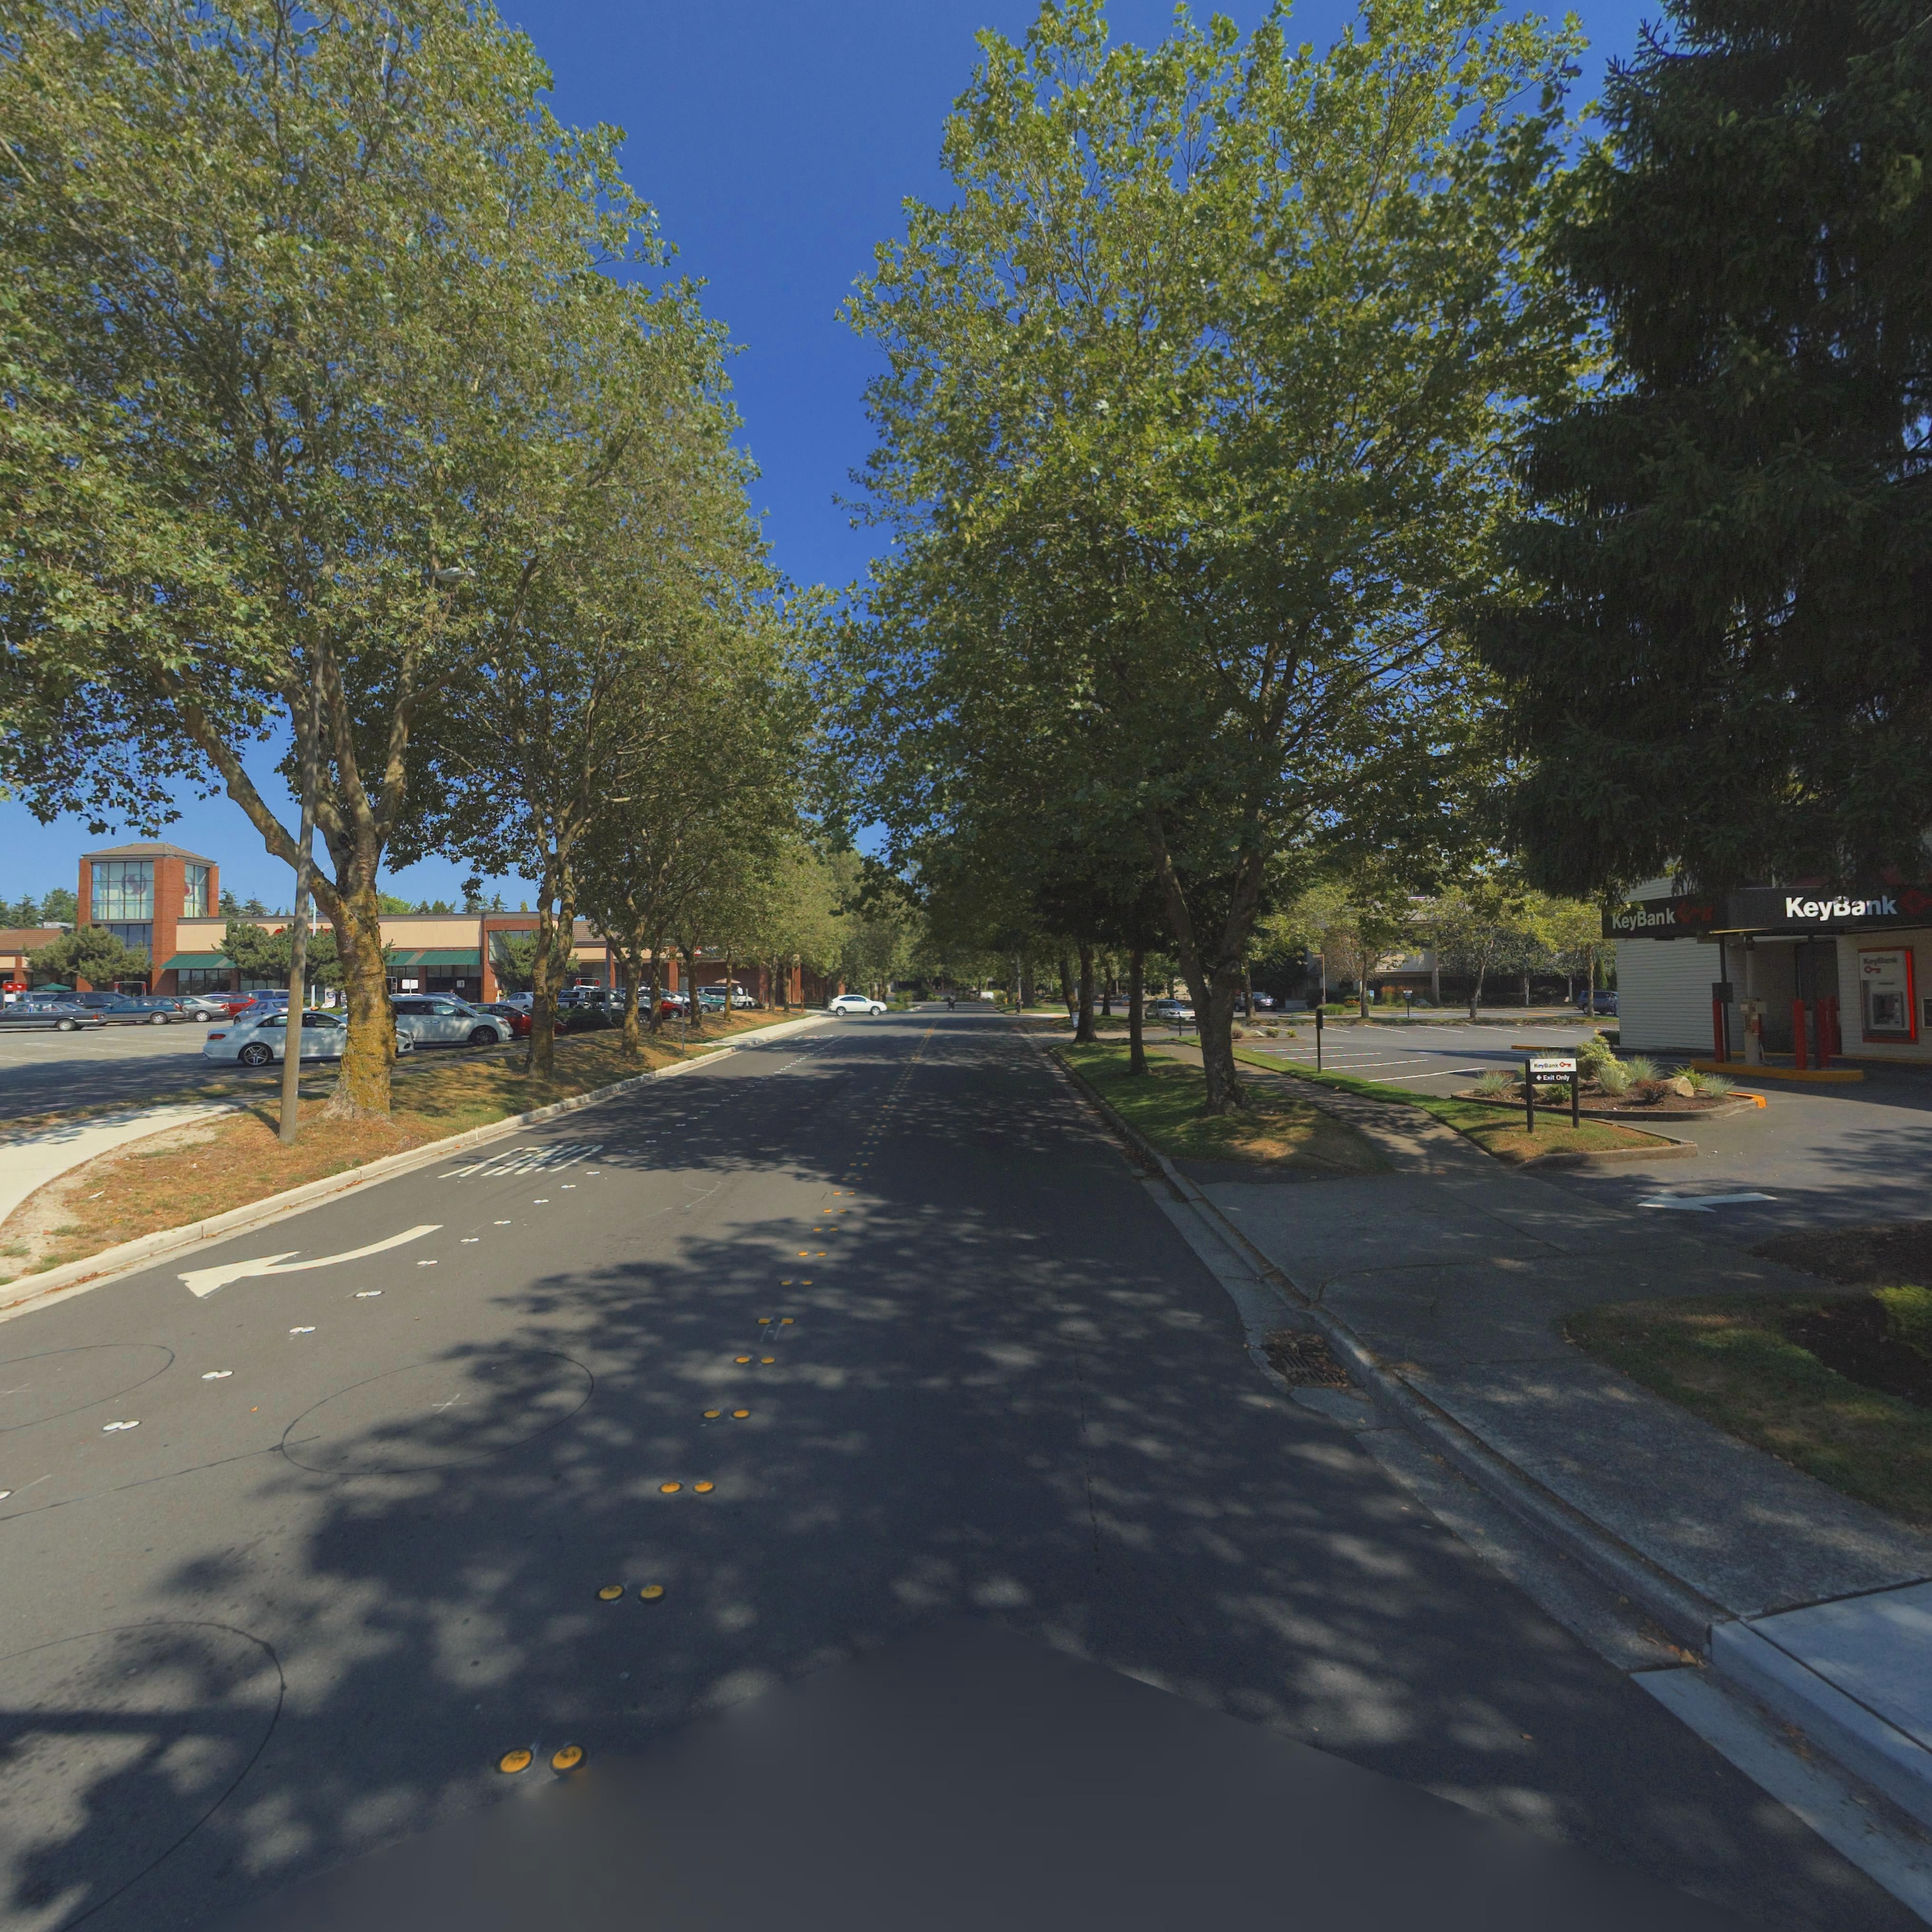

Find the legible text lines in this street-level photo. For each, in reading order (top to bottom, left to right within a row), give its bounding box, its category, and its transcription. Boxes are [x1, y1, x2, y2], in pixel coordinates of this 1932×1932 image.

[1612, 908, 1676, 930] BusinessName: *eyBank
[1863, 956, 1898, 966] BusinessName: KeyBank
[1534, 1063, 1558, 1068] None: KeyBank